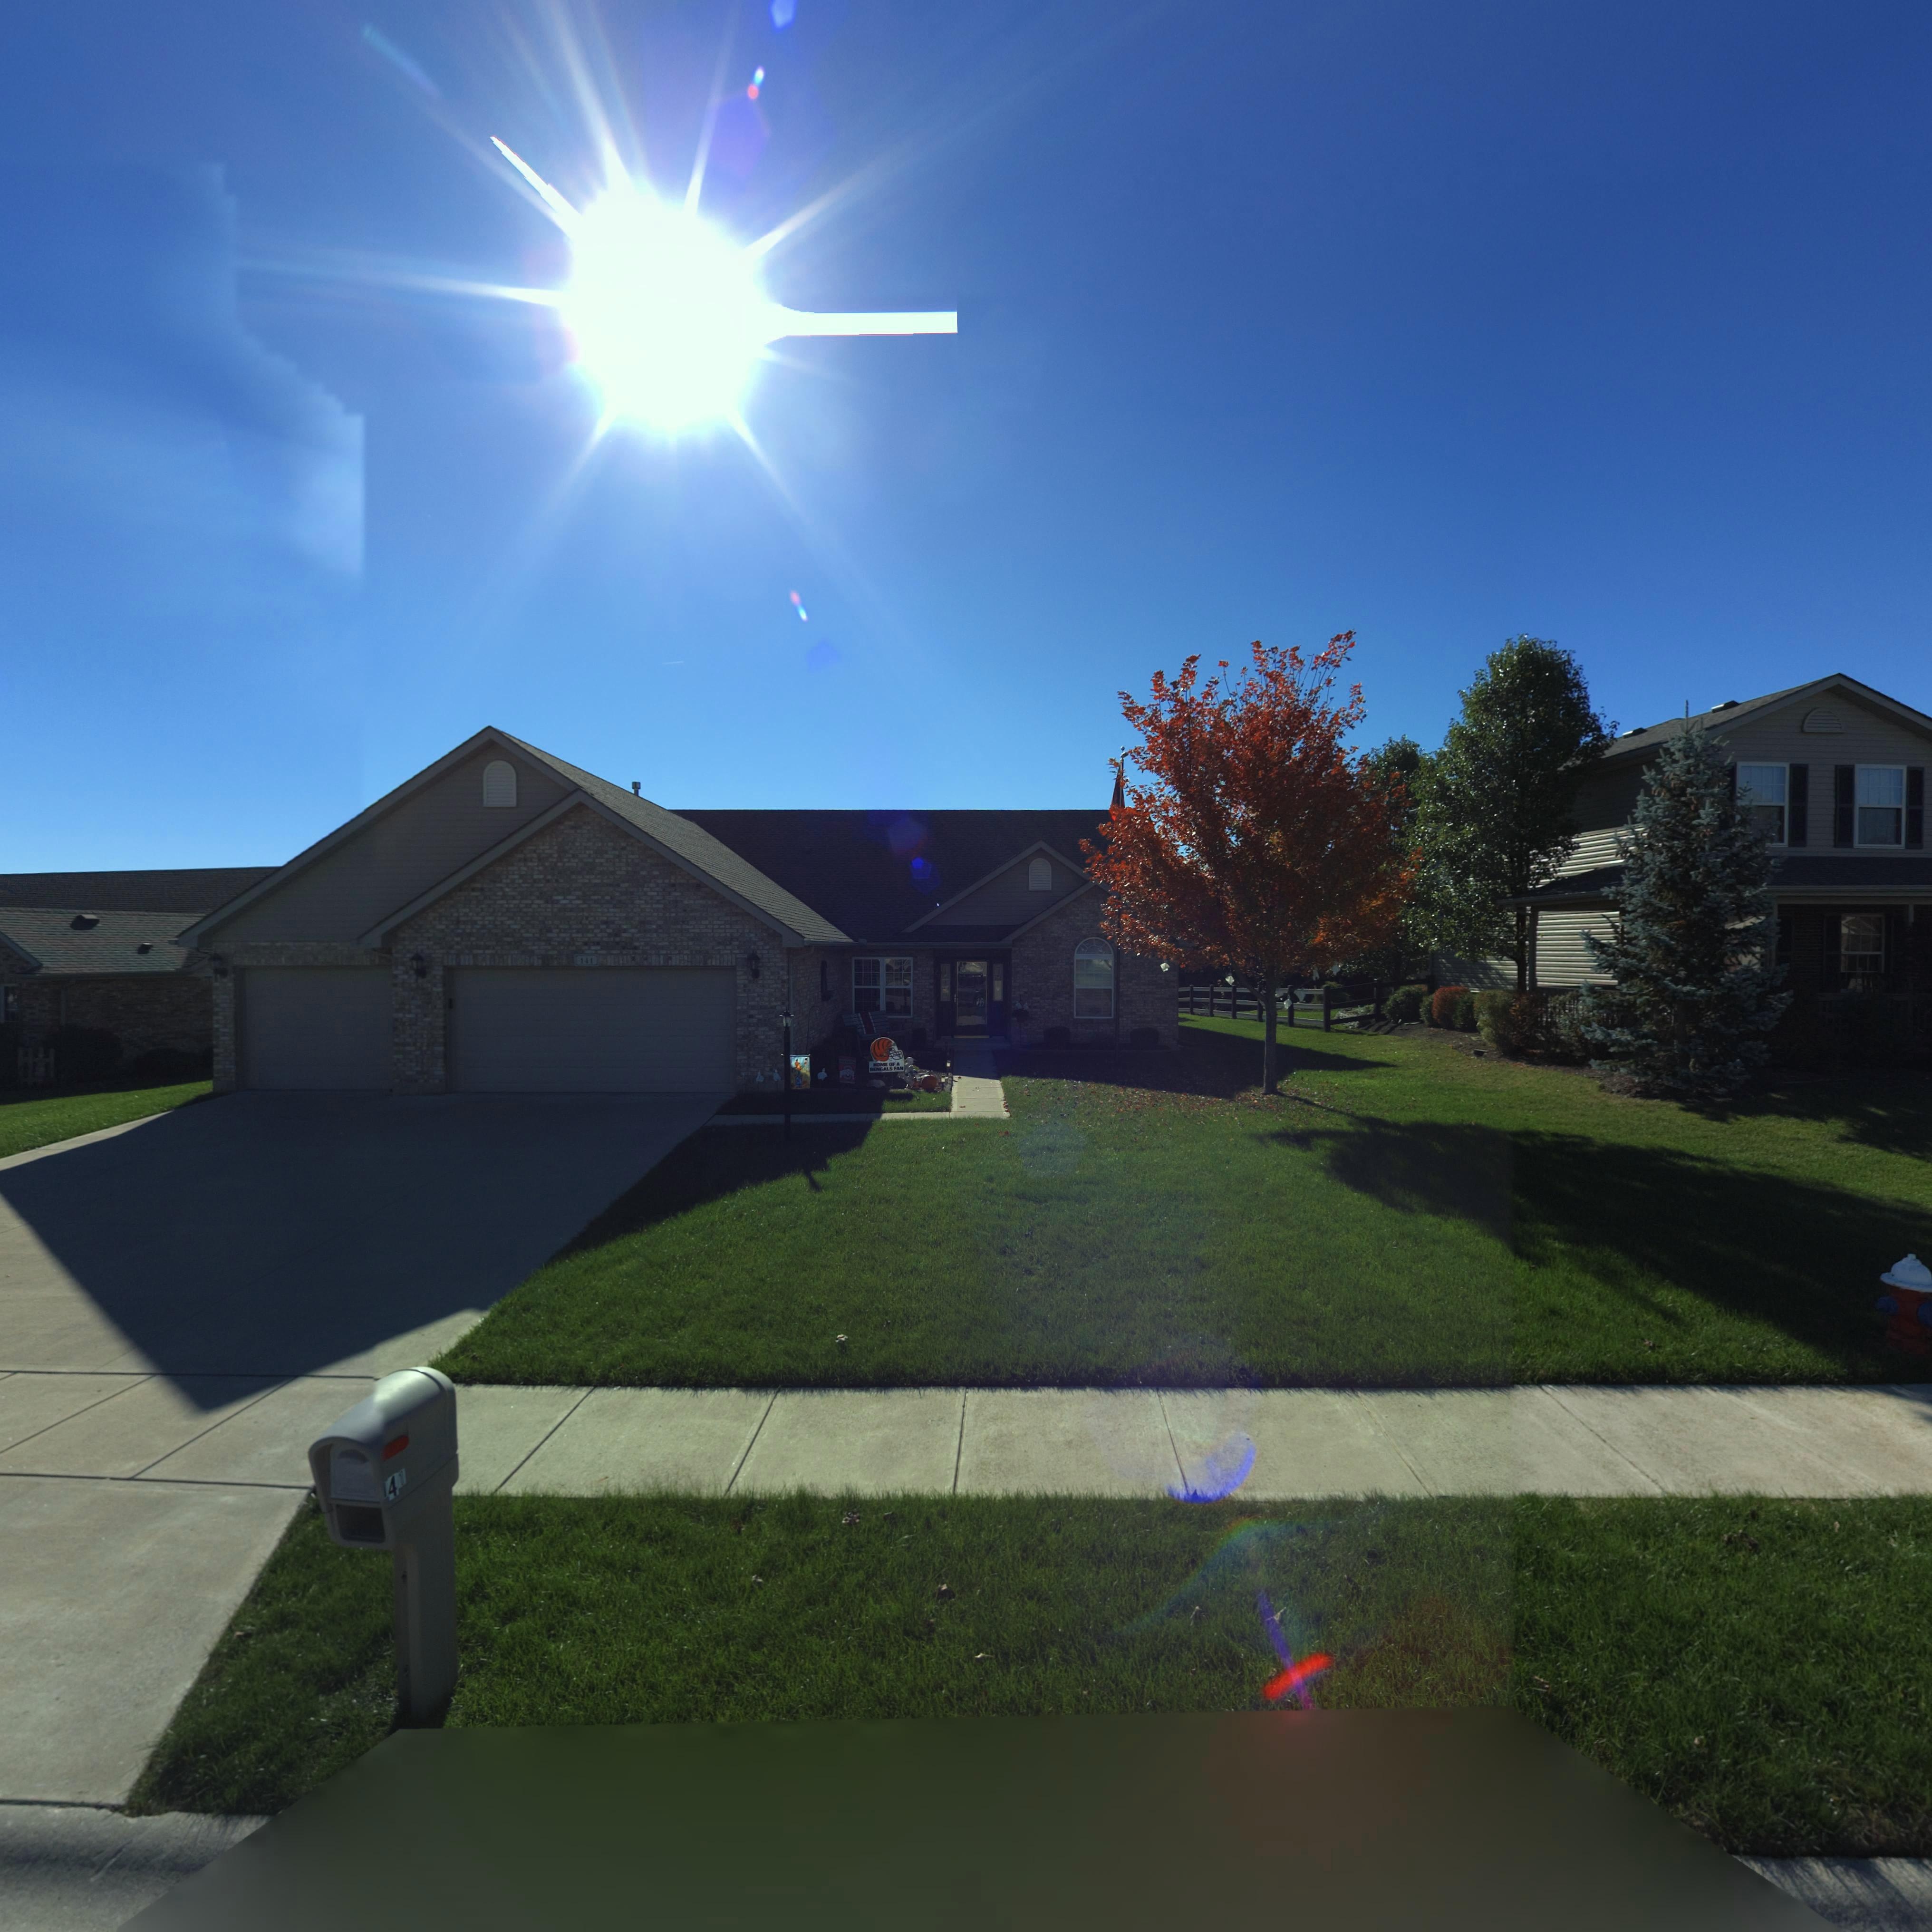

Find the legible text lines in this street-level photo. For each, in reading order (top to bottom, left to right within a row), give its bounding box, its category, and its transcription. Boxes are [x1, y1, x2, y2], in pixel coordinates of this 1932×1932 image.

[580, 957, 594, 965] StreetNumber: 141
[873, 1062, 899, 1066] None: HOME OF A
[869, 1066, 904, 1071] None: ****ALS FAN
[385, 1473, 399, 1501] StreetNumber: 4